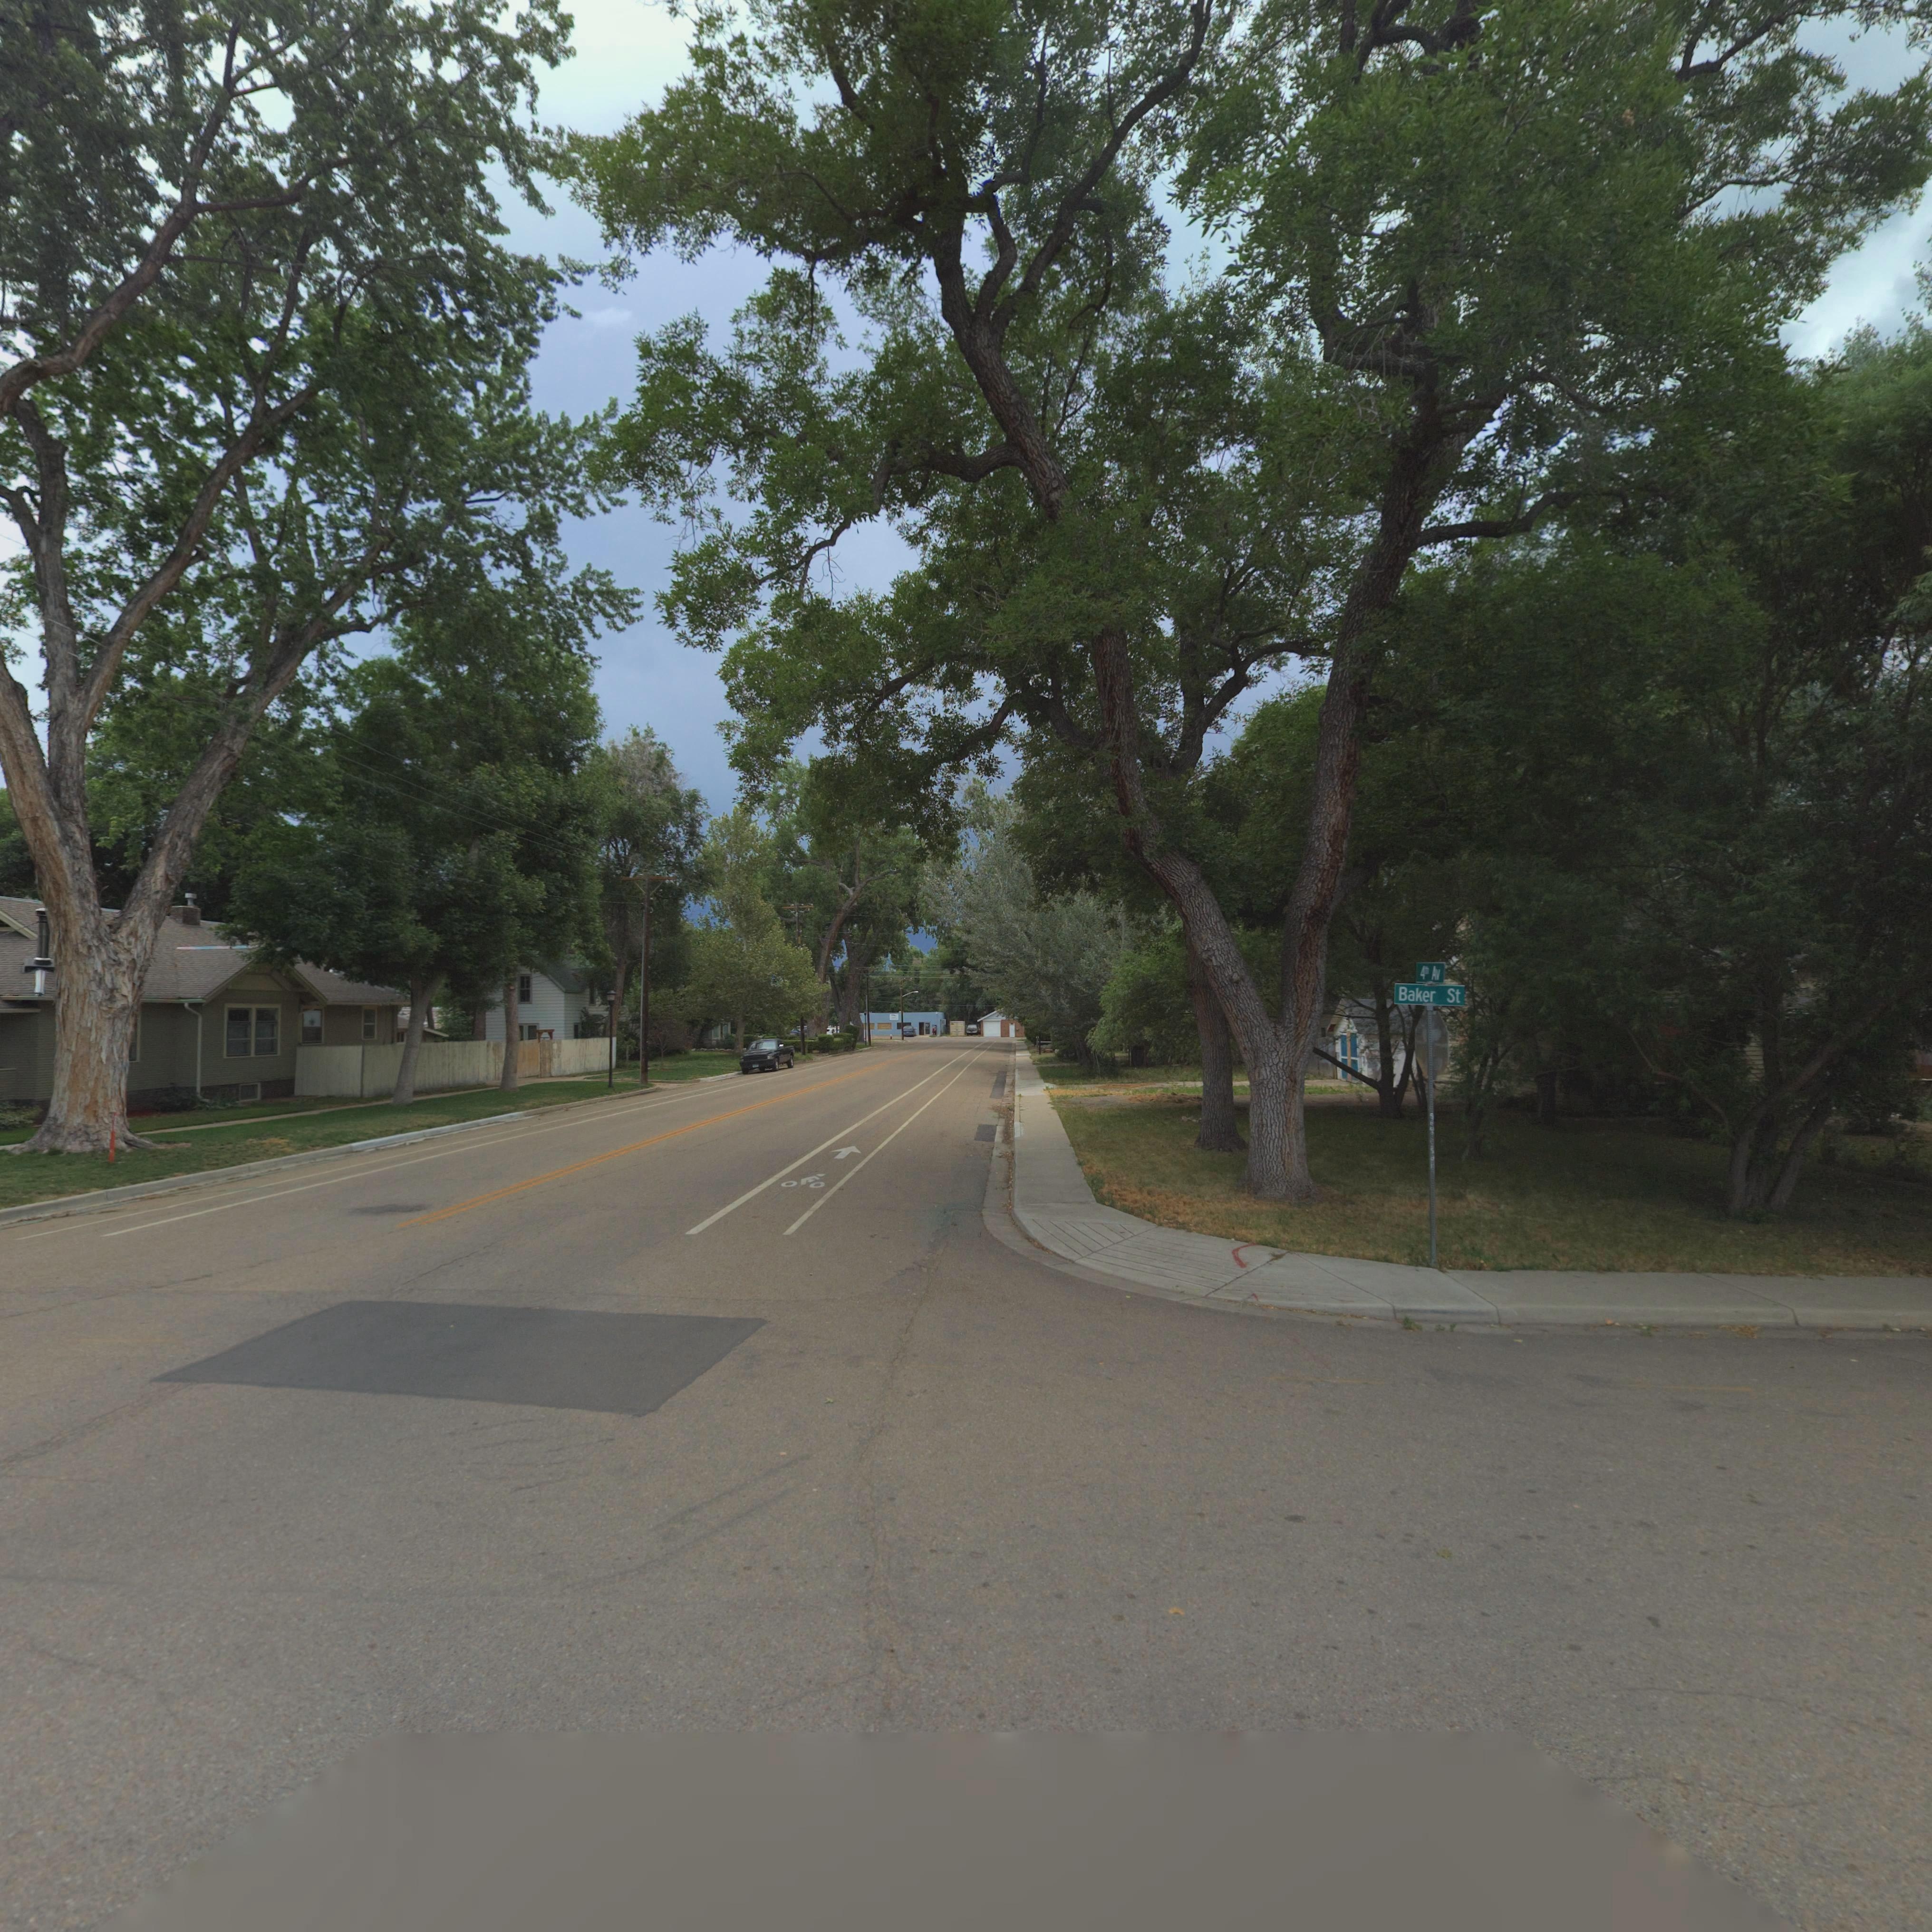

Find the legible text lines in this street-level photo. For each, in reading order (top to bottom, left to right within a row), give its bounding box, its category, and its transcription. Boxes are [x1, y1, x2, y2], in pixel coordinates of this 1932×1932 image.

[1419, 965, 1441, 980] StreetName: 4th Av
[1398, 985, 1461, 1004] StreetName: Baker St